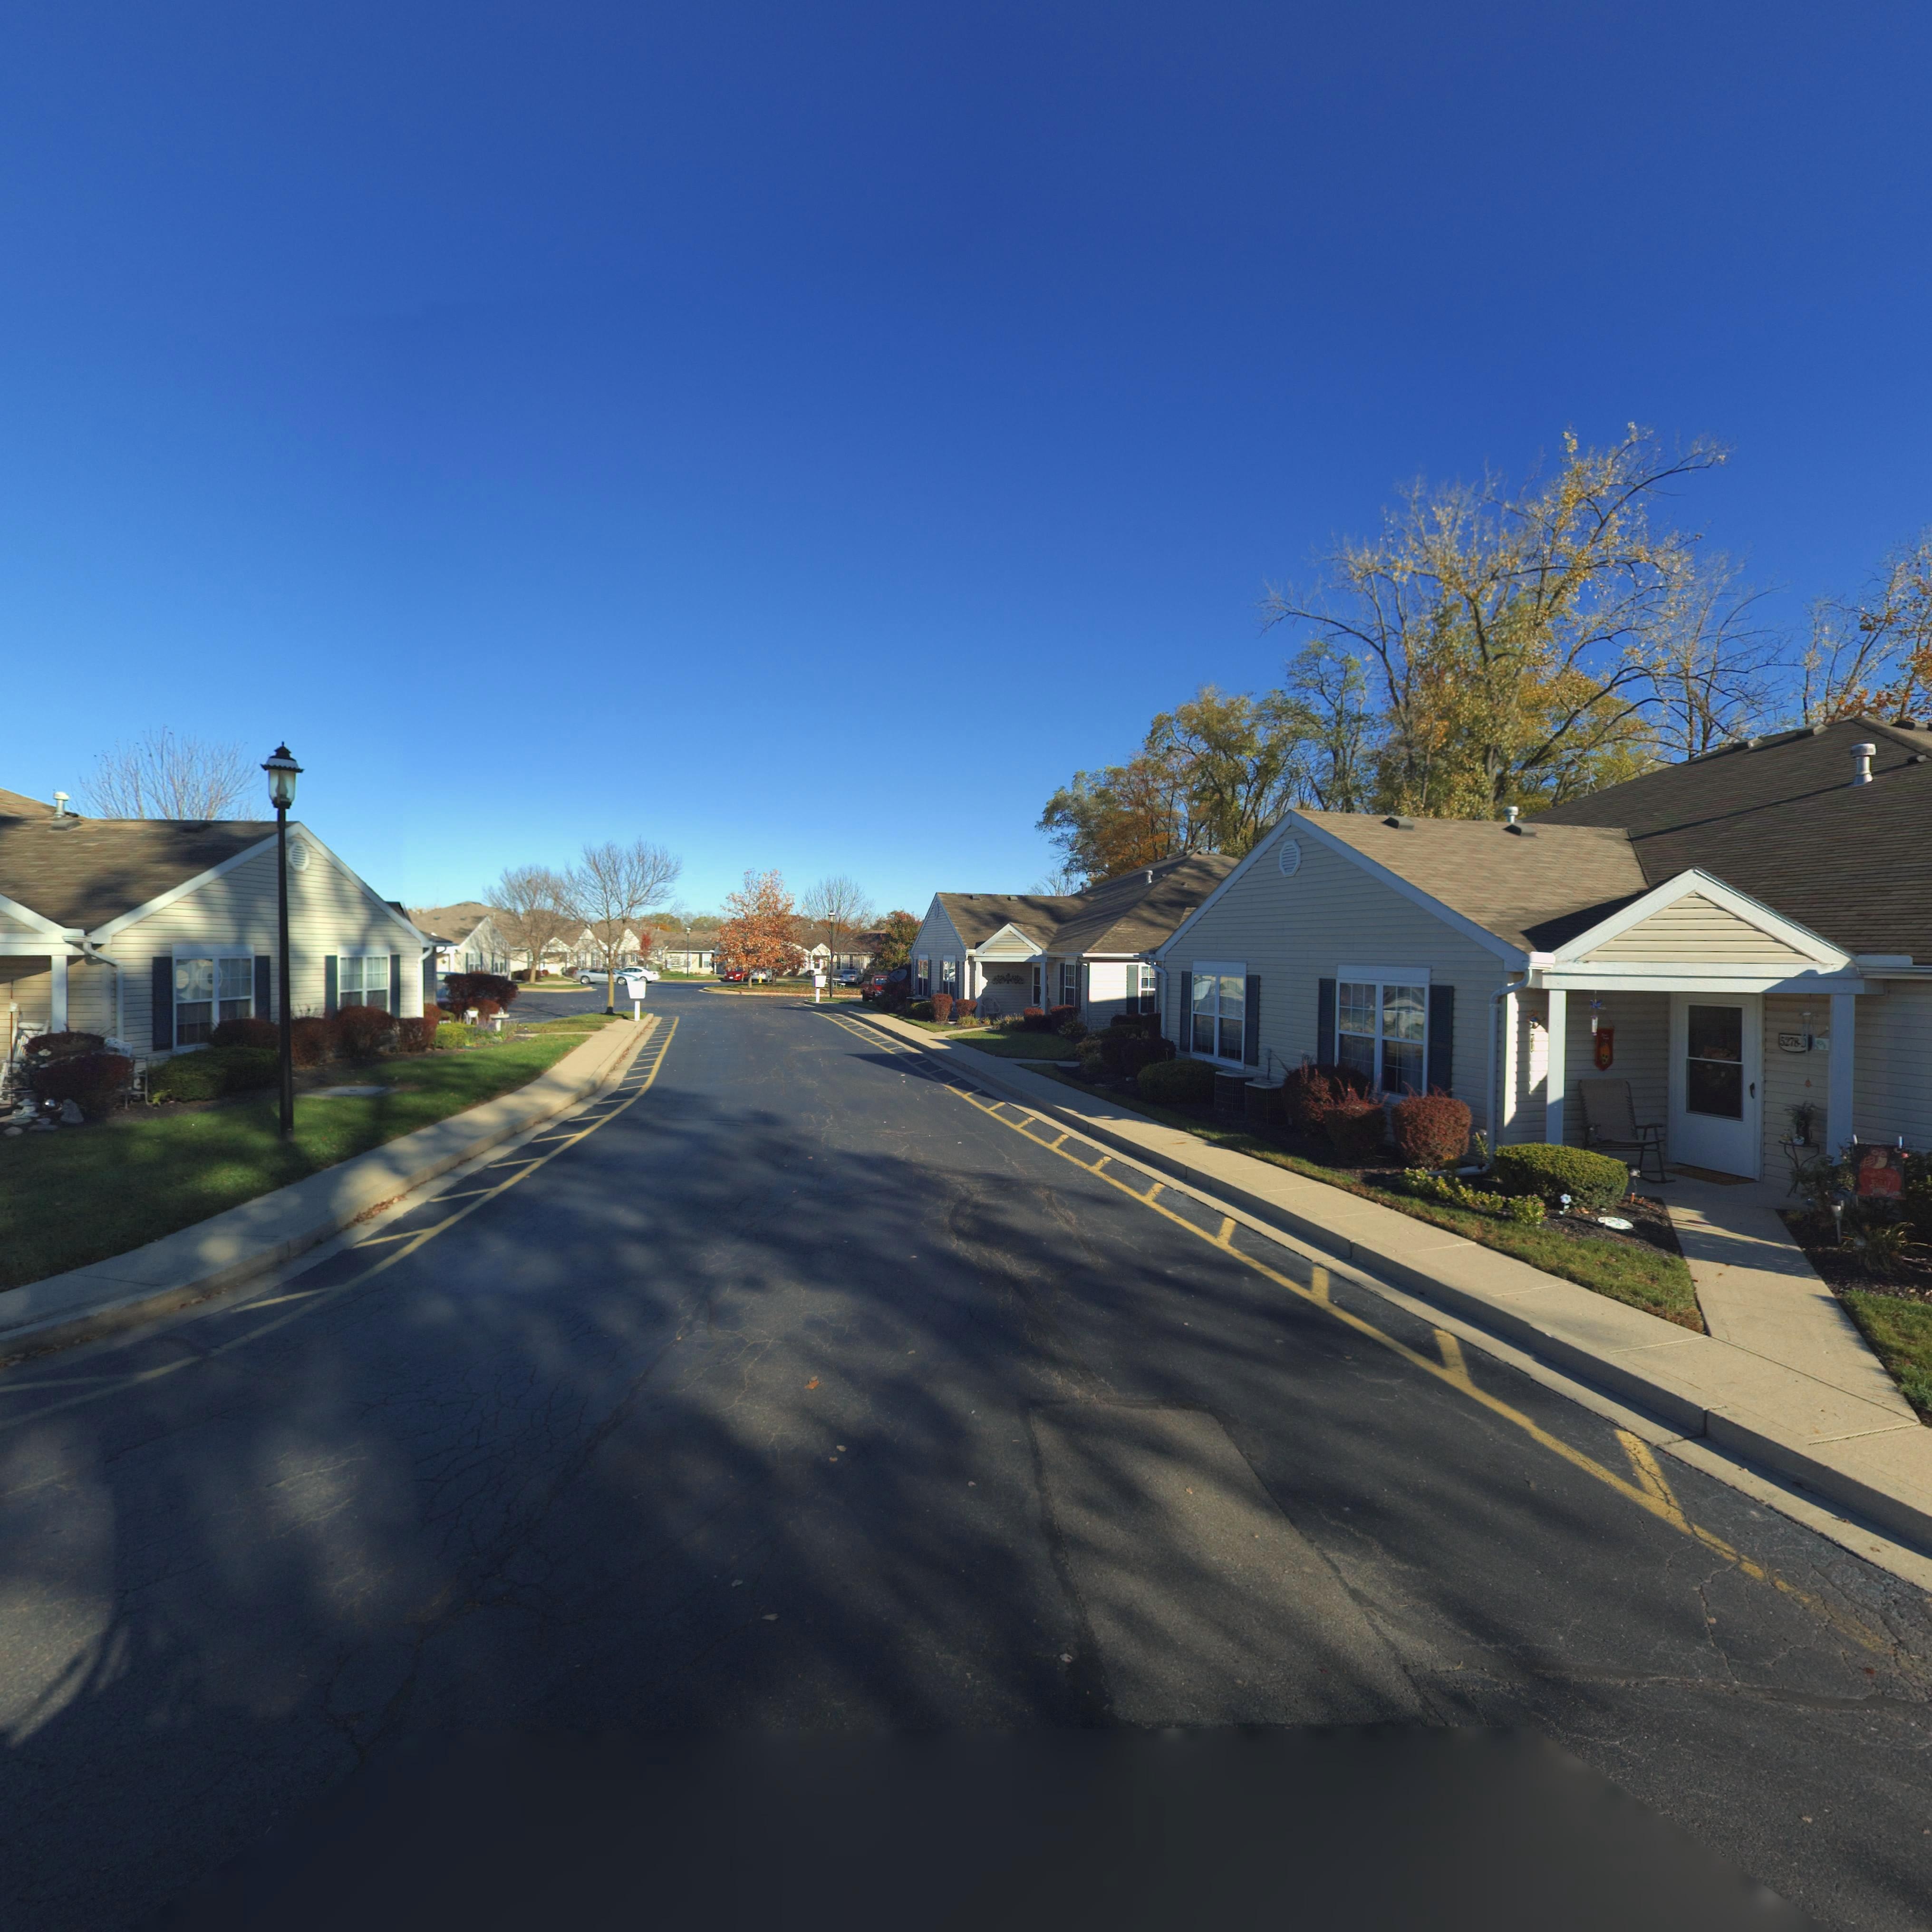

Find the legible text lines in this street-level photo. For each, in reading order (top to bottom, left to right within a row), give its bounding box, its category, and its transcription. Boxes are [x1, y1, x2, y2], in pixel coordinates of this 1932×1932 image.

[1778, 1034, 1801, 1049] StreetNumber: 5278